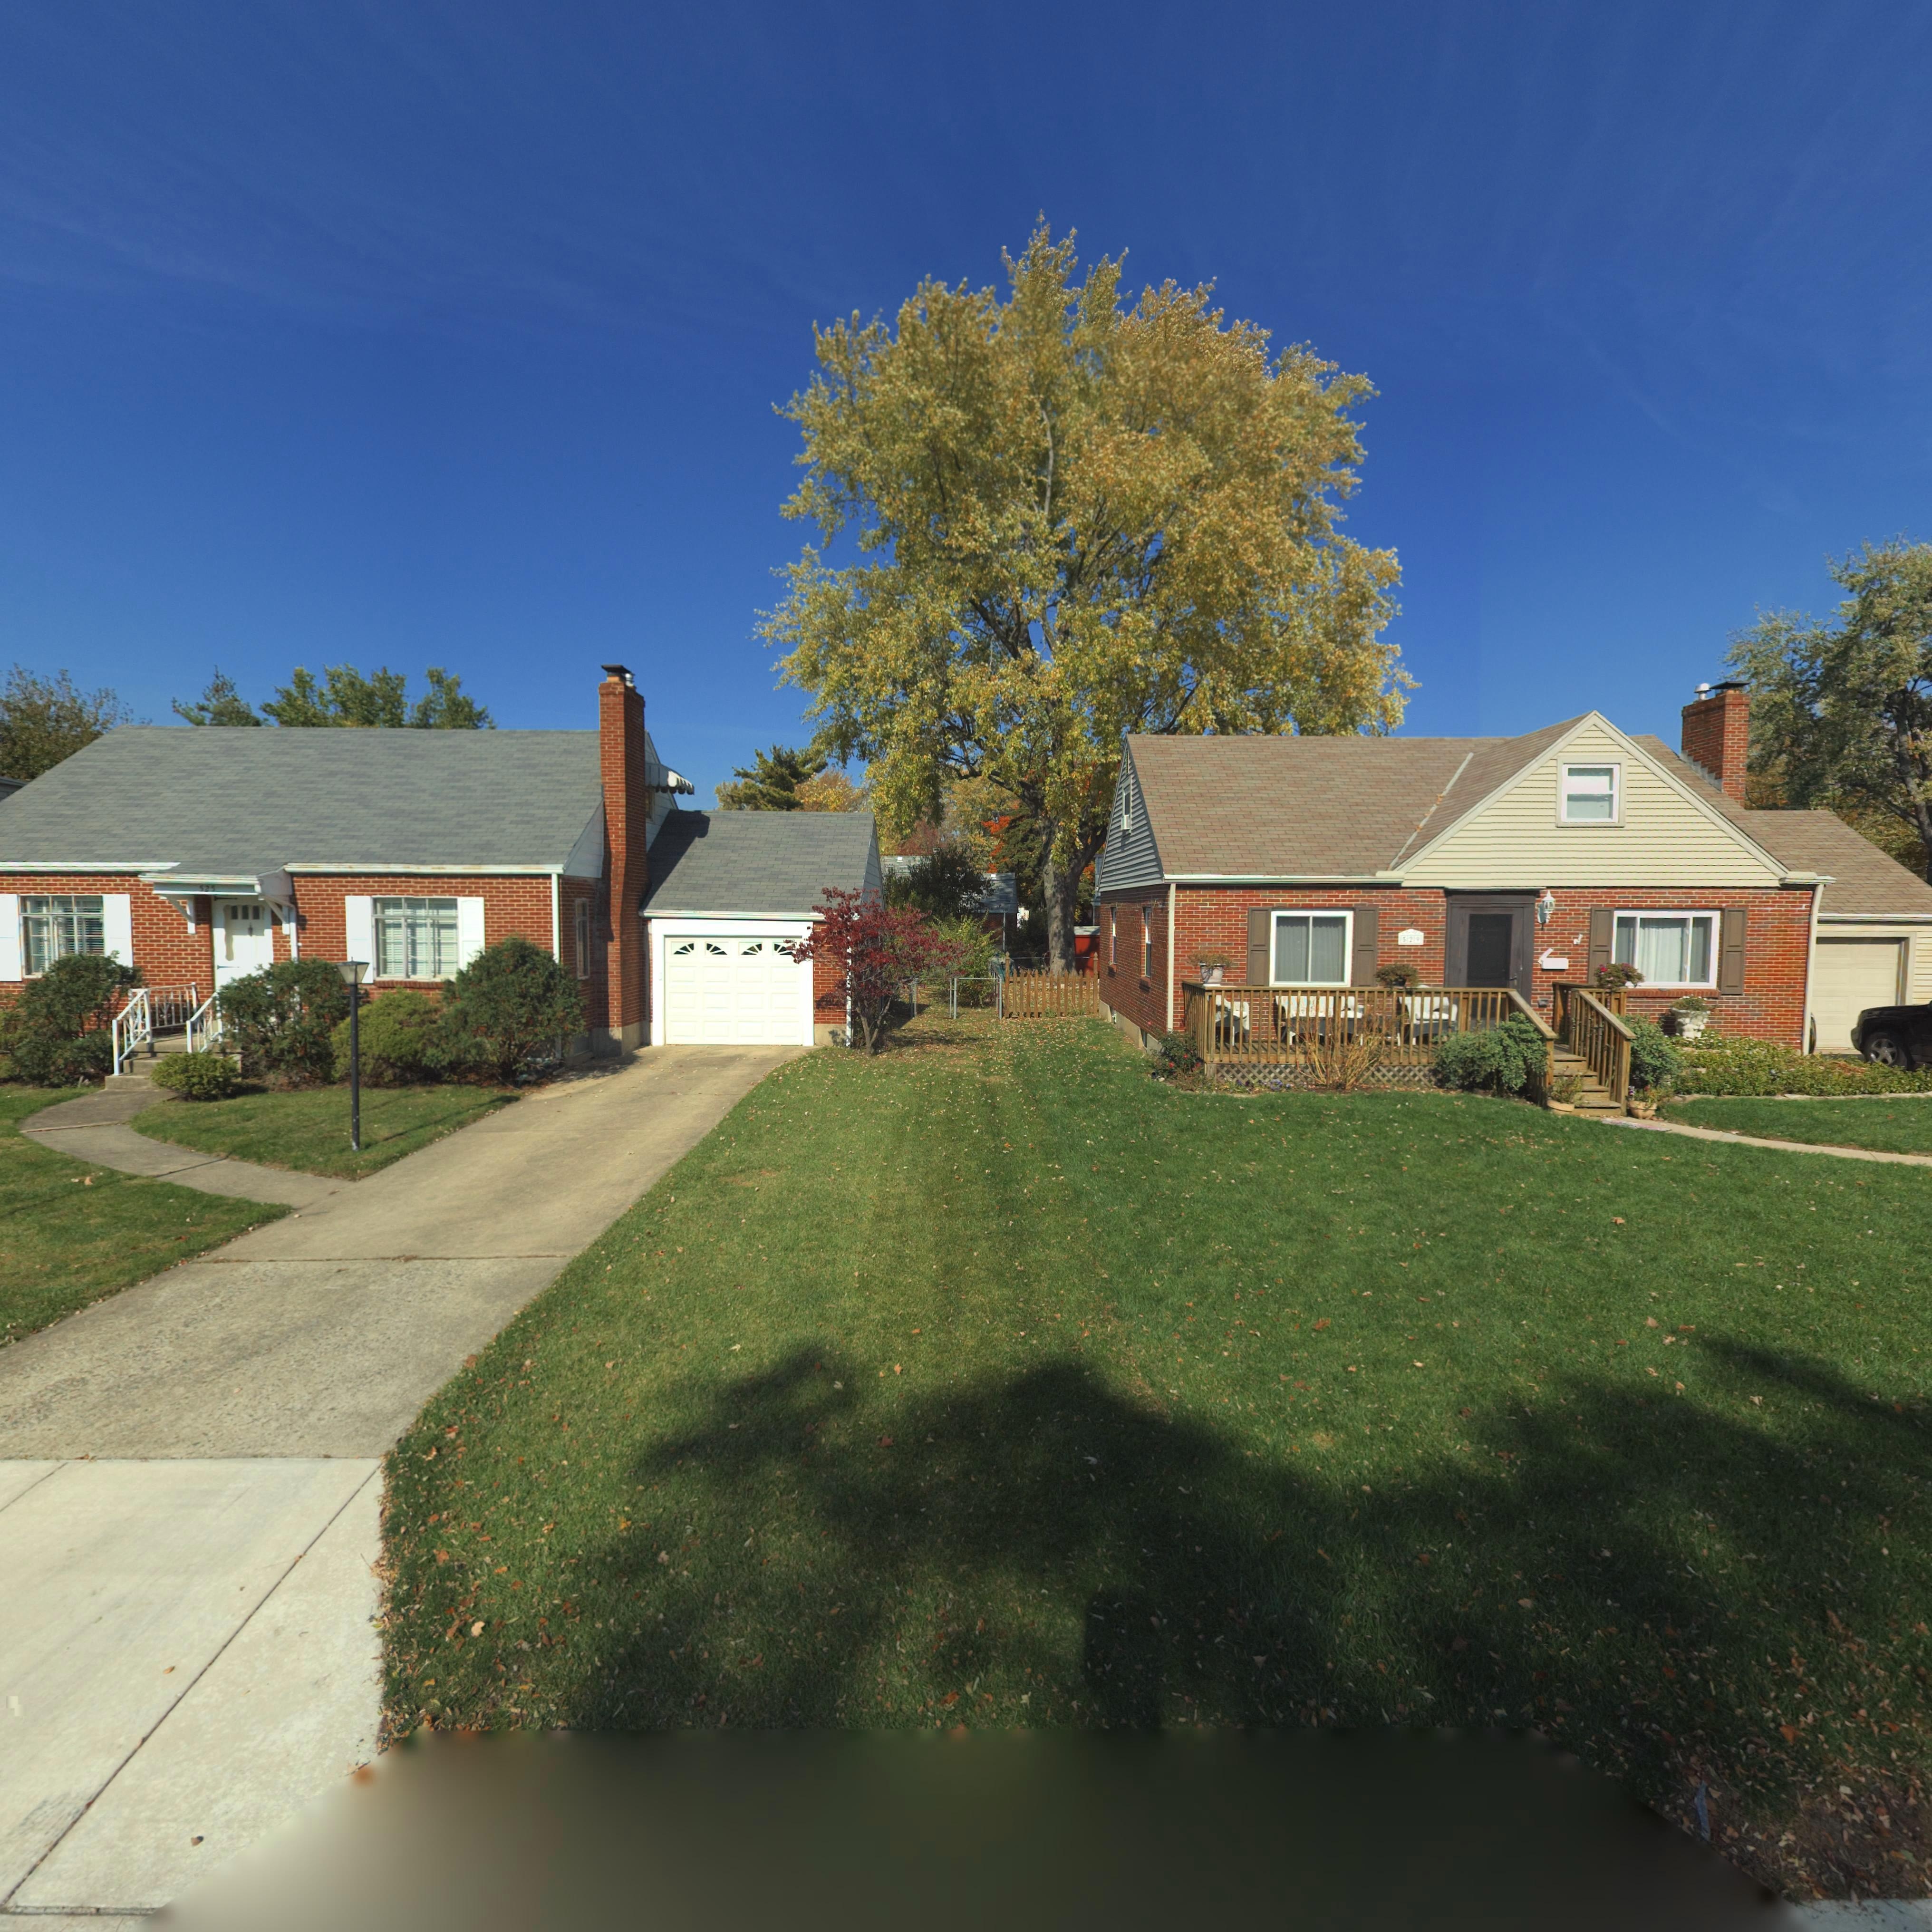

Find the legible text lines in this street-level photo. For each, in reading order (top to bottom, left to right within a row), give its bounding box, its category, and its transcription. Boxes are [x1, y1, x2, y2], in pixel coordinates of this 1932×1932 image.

[198, 885, 216, 892] StreetNumber: 525
[1402, 936, 1420, 942] StreetNumber: 529